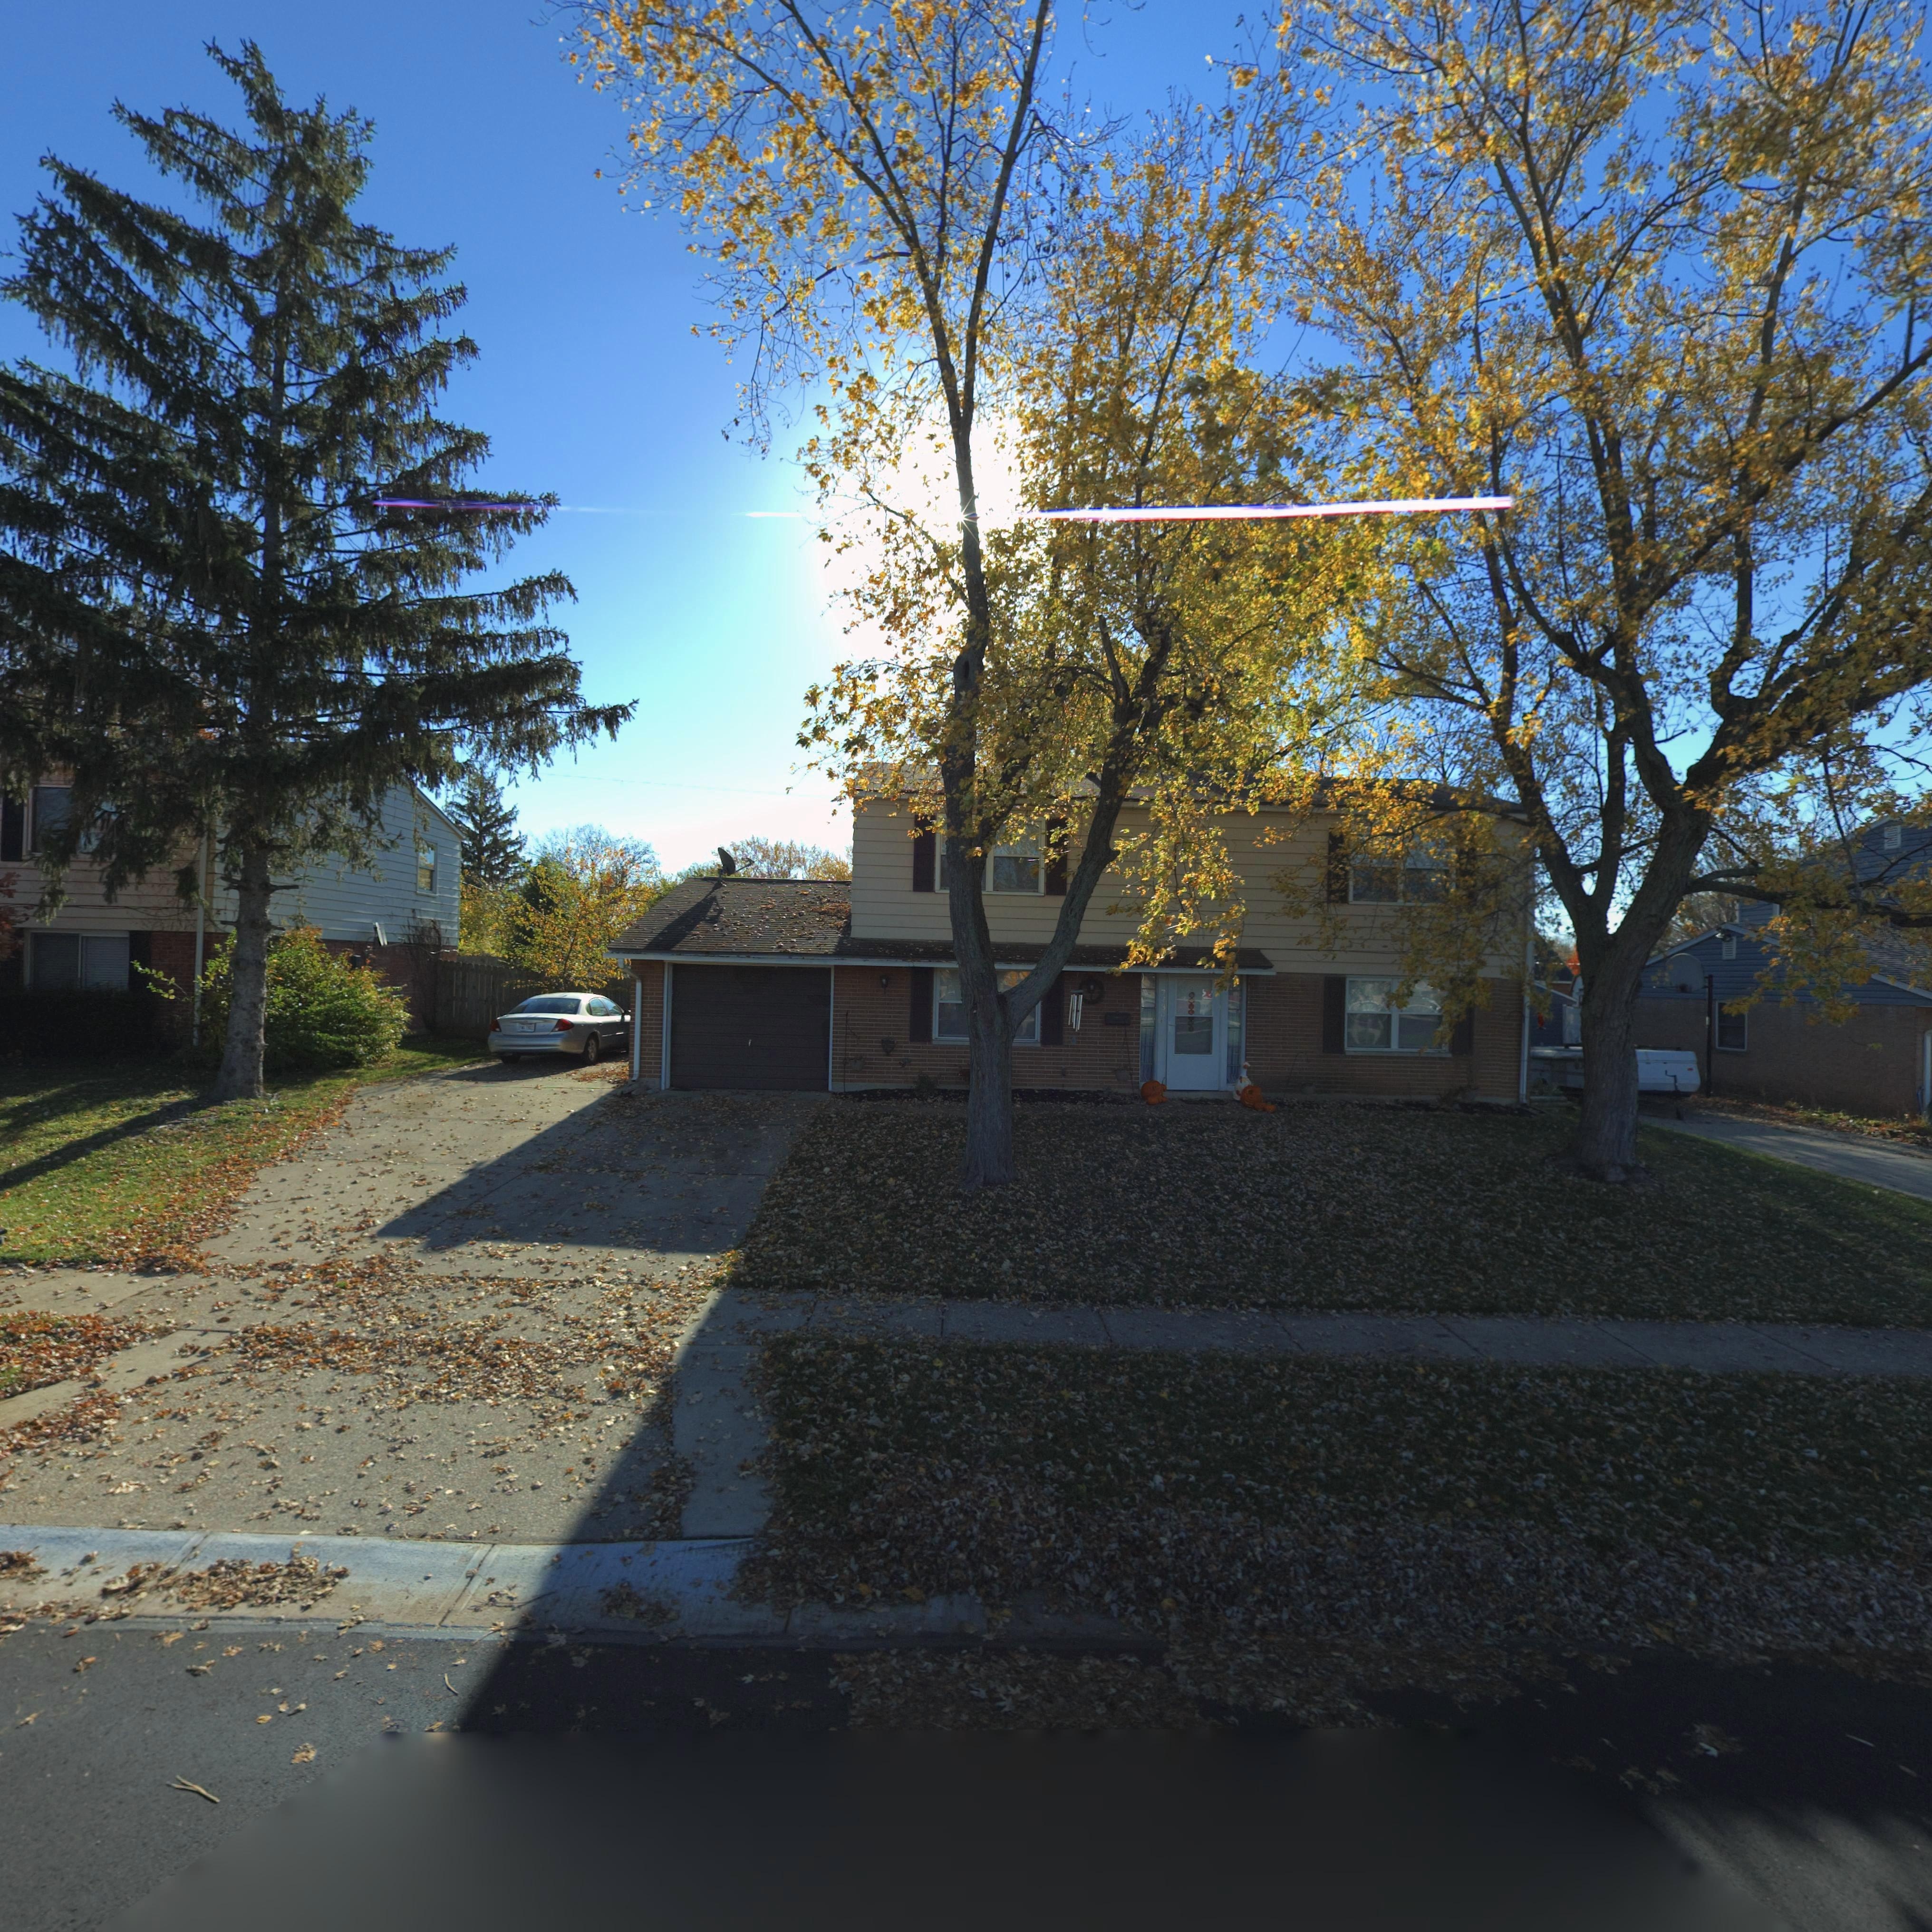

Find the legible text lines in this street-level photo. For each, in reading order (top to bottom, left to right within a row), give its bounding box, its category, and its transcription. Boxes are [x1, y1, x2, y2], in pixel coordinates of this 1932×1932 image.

[1159, 988, 1167, 1020] StreetNumber: 7*3*